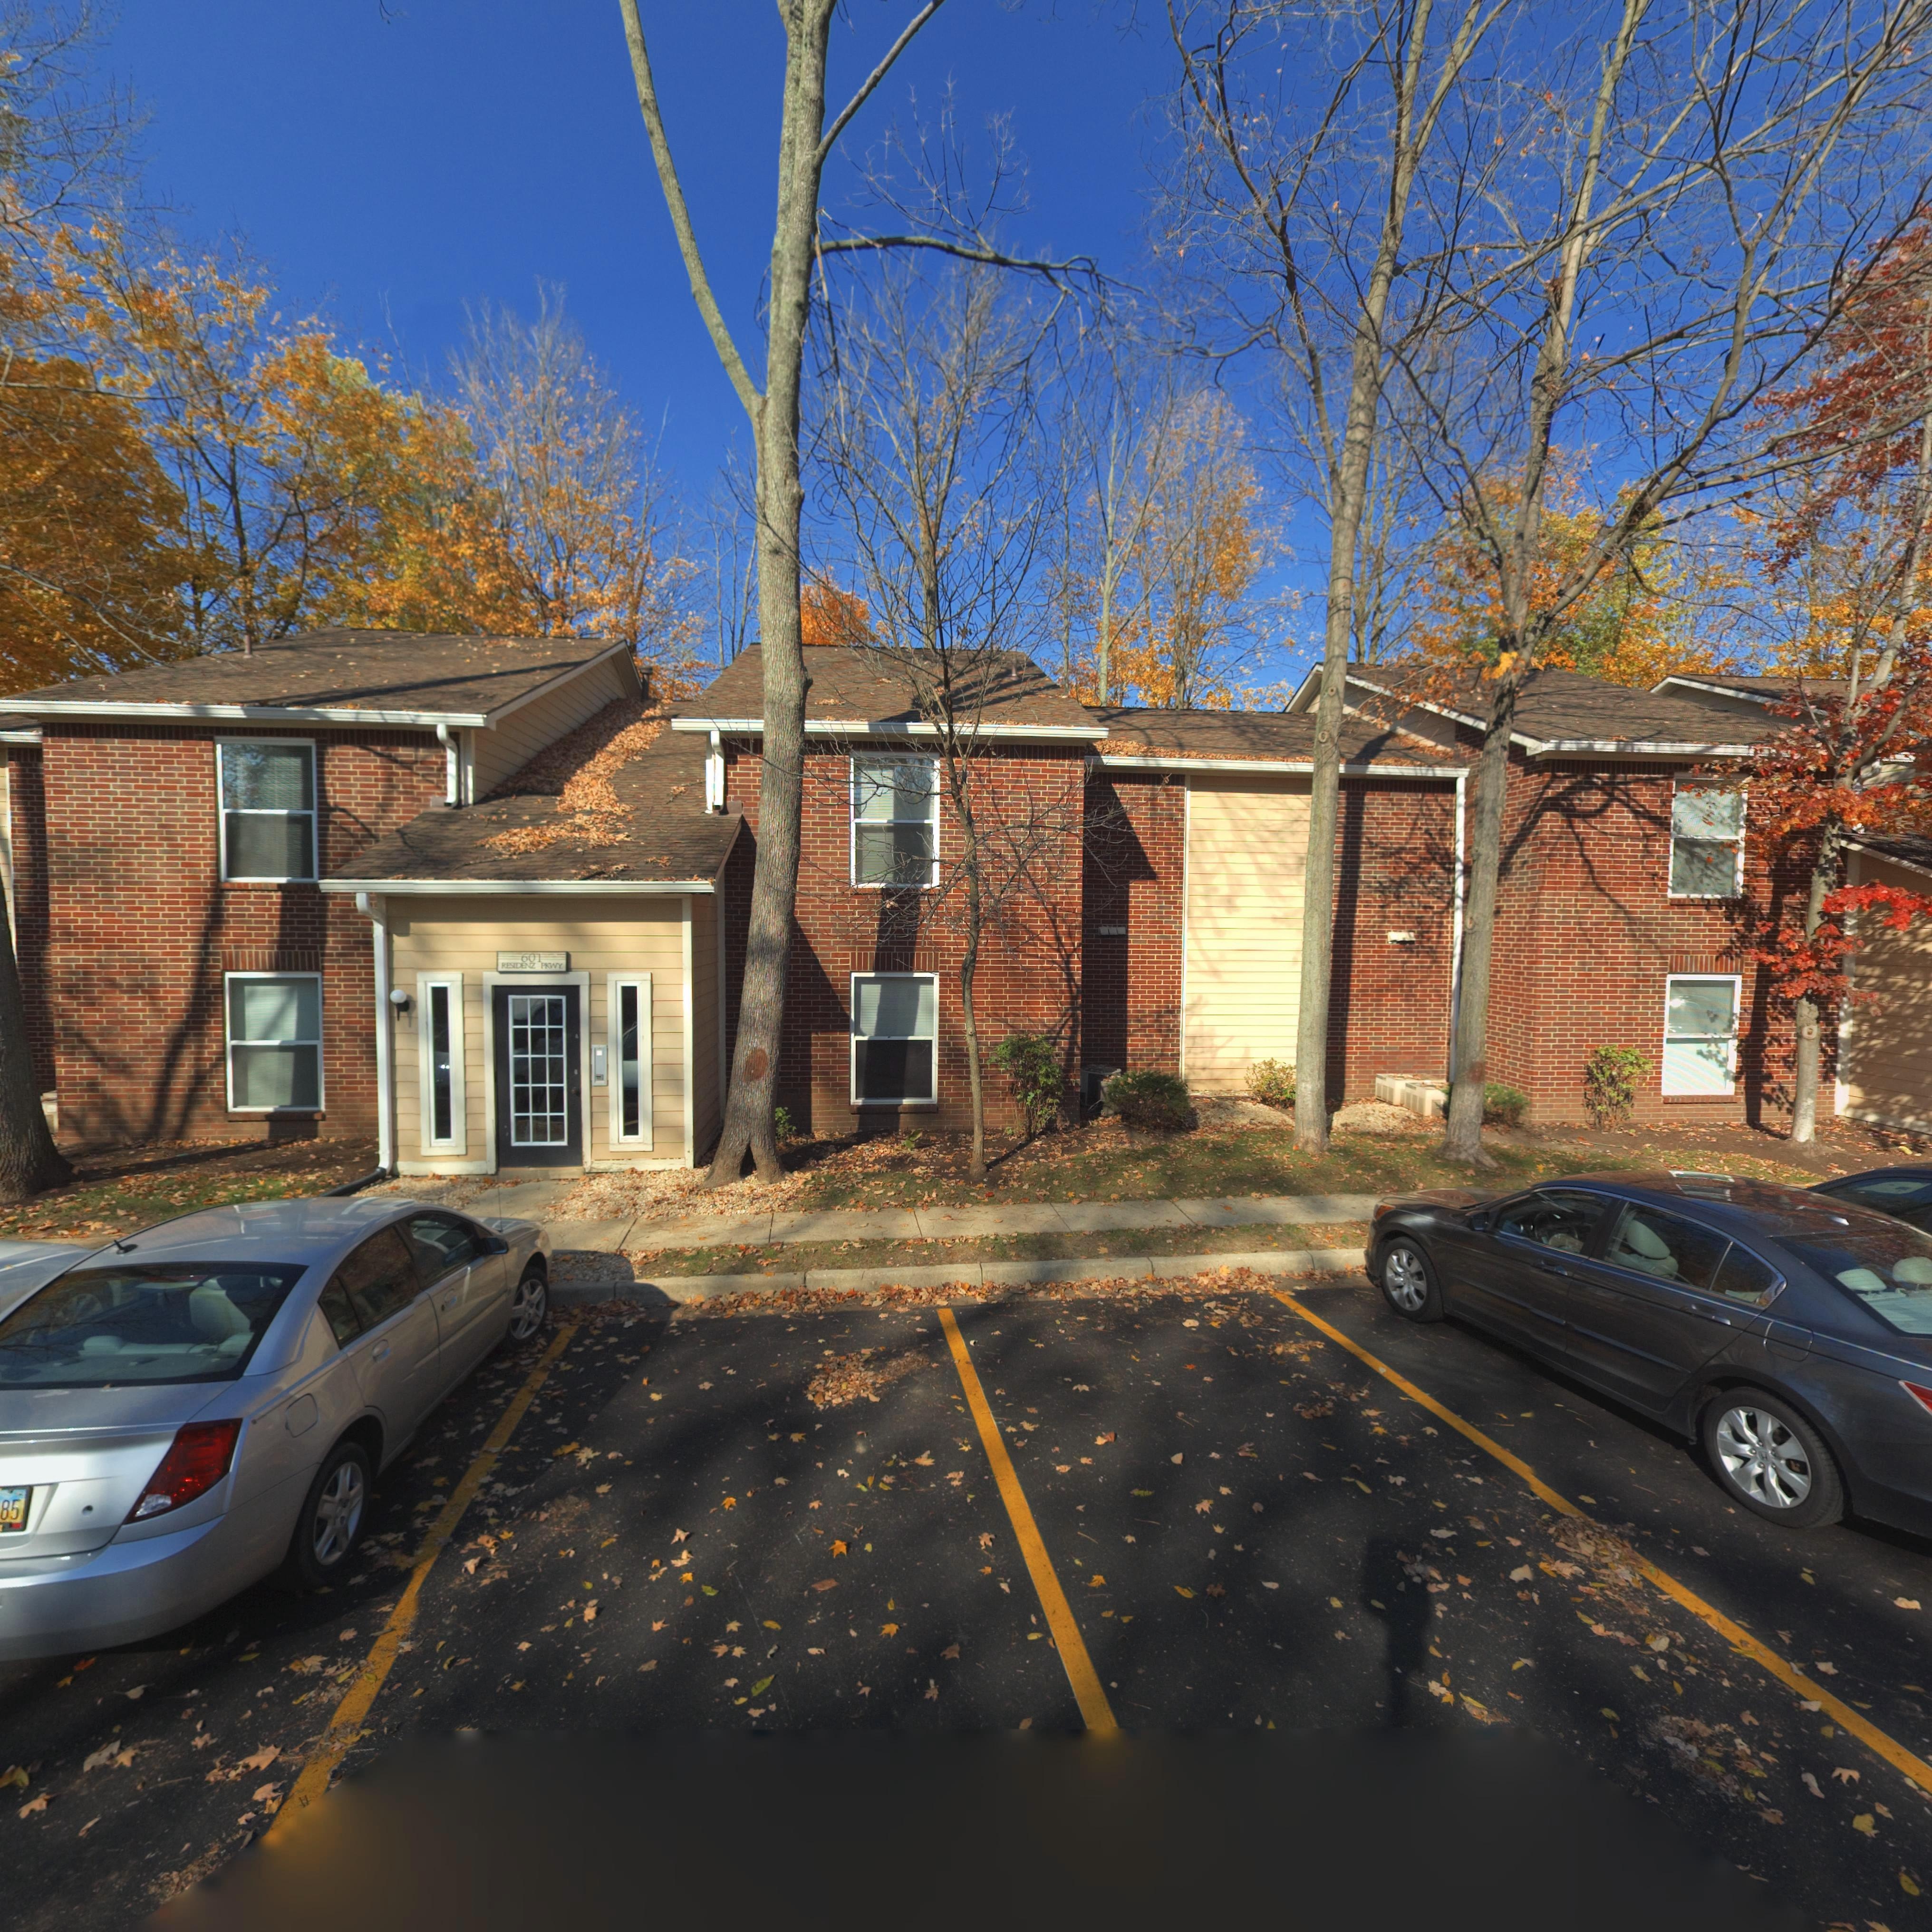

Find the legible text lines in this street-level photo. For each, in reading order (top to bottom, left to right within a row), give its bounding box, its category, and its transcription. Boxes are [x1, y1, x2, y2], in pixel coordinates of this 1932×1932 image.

[520, 952, 542, 963] StreetNumber: 601
[500, 961, 564, 970] StreetName: RESIDENZ PKWY
[0, 1497, 21, 1522] None: 85